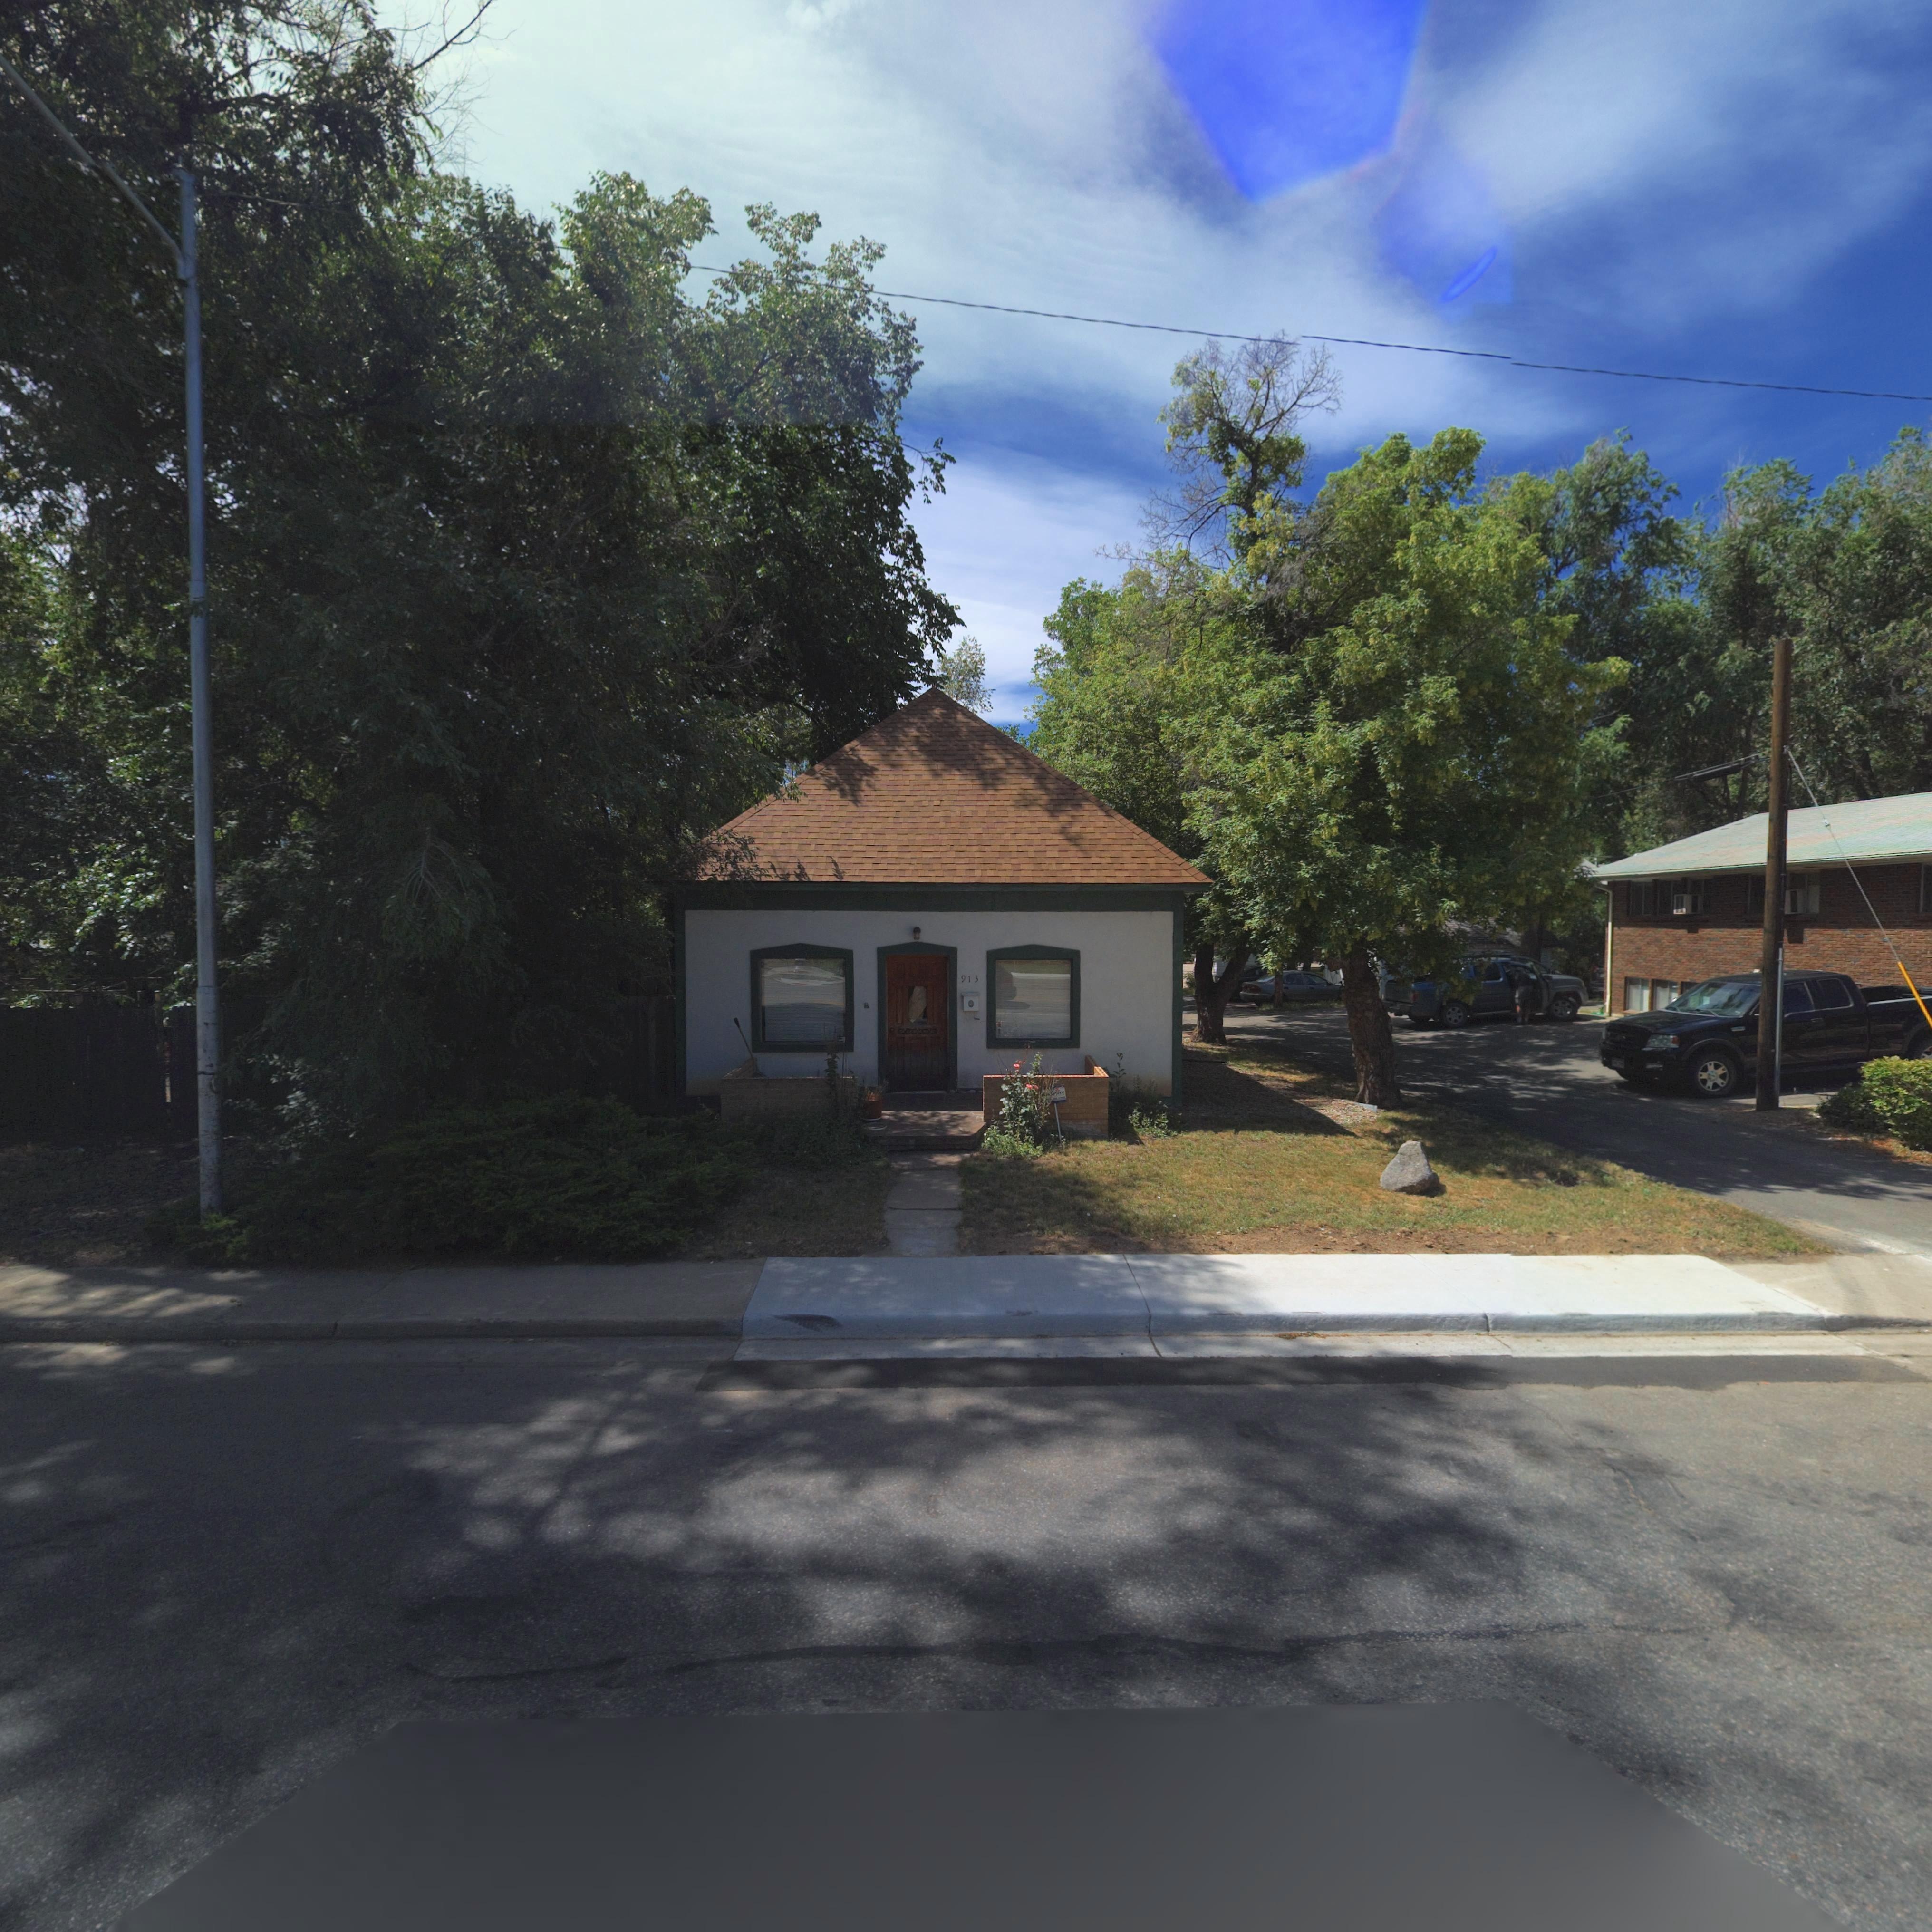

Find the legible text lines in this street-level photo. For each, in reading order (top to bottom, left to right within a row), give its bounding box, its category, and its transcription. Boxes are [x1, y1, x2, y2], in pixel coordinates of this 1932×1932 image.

[960, 975, 978, 983] StreetNumber: 913